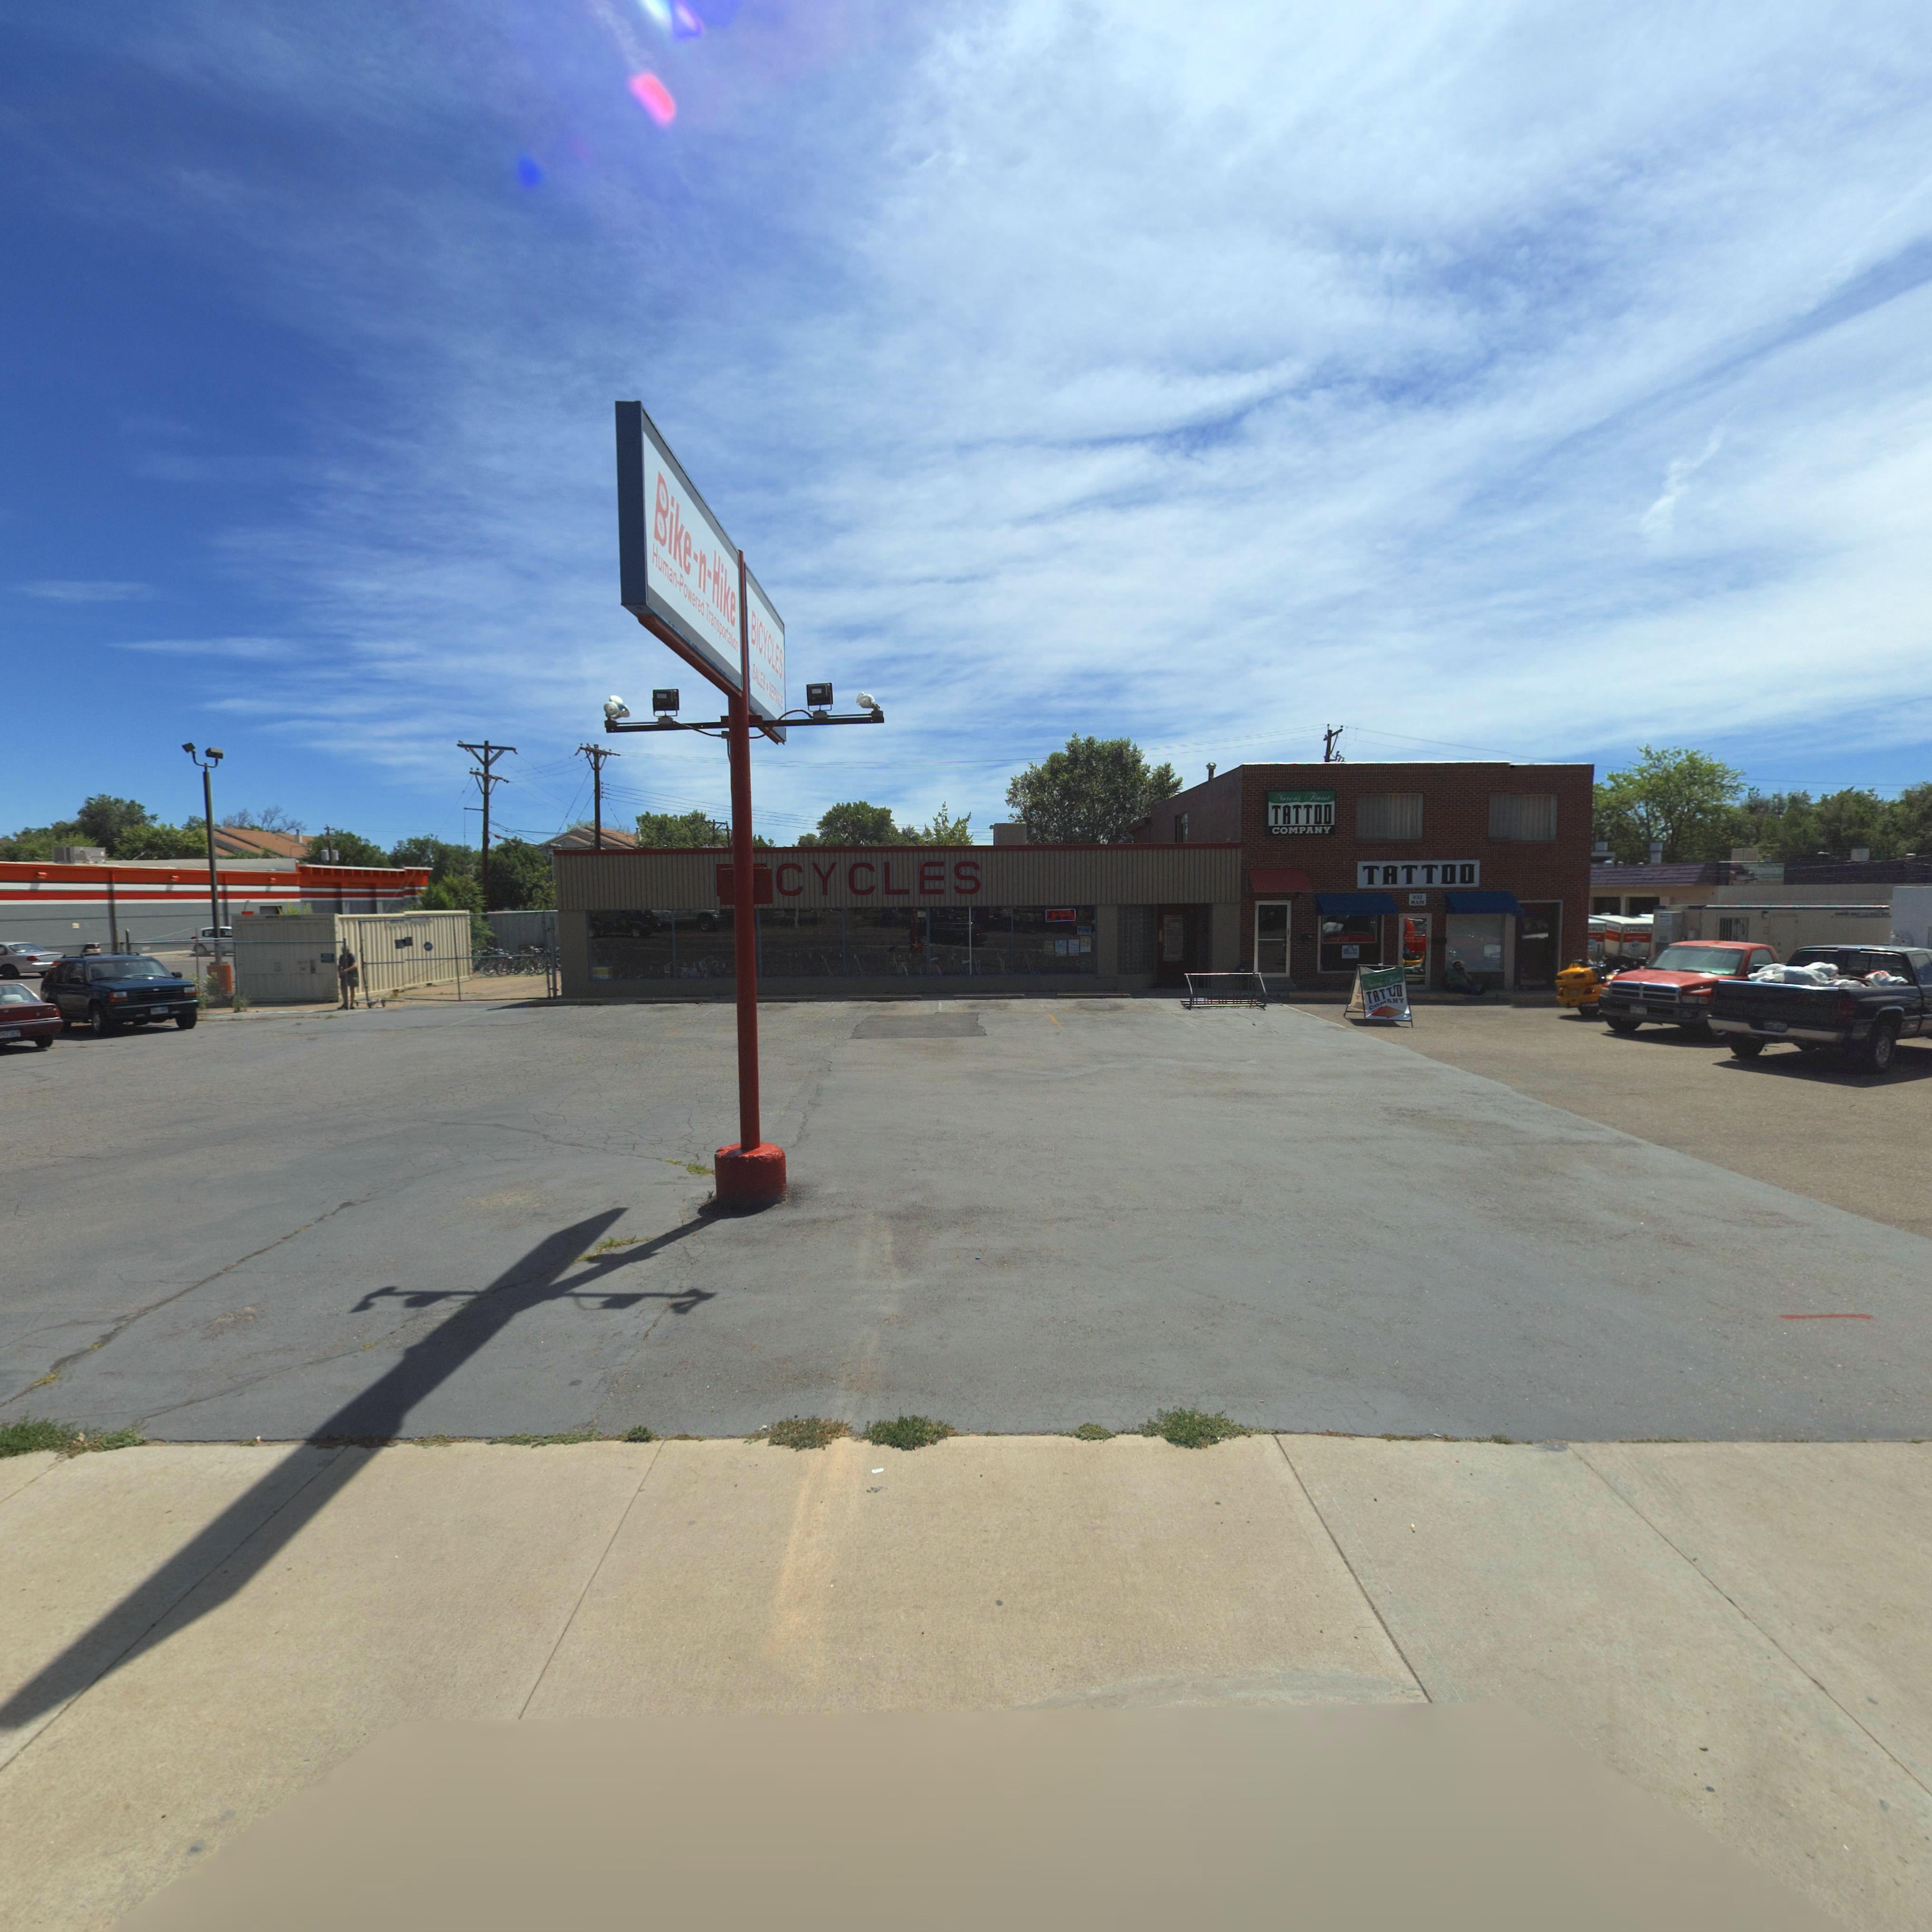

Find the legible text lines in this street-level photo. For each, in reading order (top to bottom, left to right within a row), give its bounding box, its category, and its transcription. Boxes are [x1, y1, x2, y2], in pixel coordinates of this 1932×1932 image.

[653, 469, 736, 628] BusinessName: Bike-n-Hike
[1278, 792, 1331, 802] BusinessName: ****** Fi****
[1270, 803, 1333, 824] BusinessName: TATTOO
[1271, 826, 1332, 834] BusinessName: COMPANY
[1361, 863, 1476, 885] BusinessName: TATTOO
[1412, 894, 1422, 899] StreetNumber: 1132
[1410, 899, 1424, 904] StreetName: MAIN